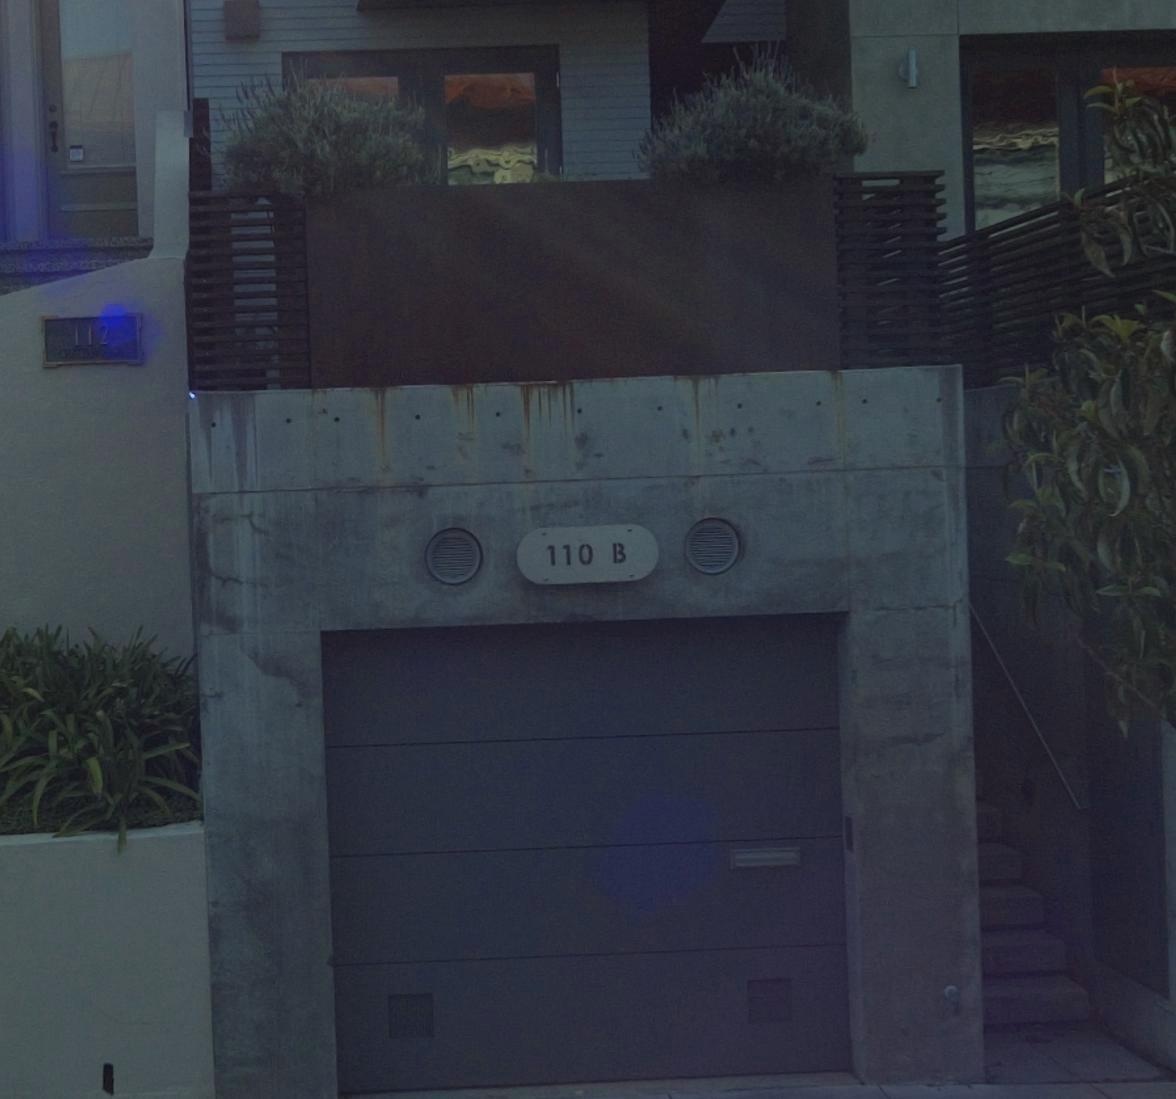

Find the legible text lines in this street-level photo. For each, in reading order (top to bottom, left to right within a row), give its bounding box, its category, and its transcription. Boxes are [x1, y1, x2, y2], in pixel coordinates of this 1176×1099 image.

[71, 323, 111, 347] StreetNumber: 112
[545, 541, 628, 567] StreetNumber: 110 B